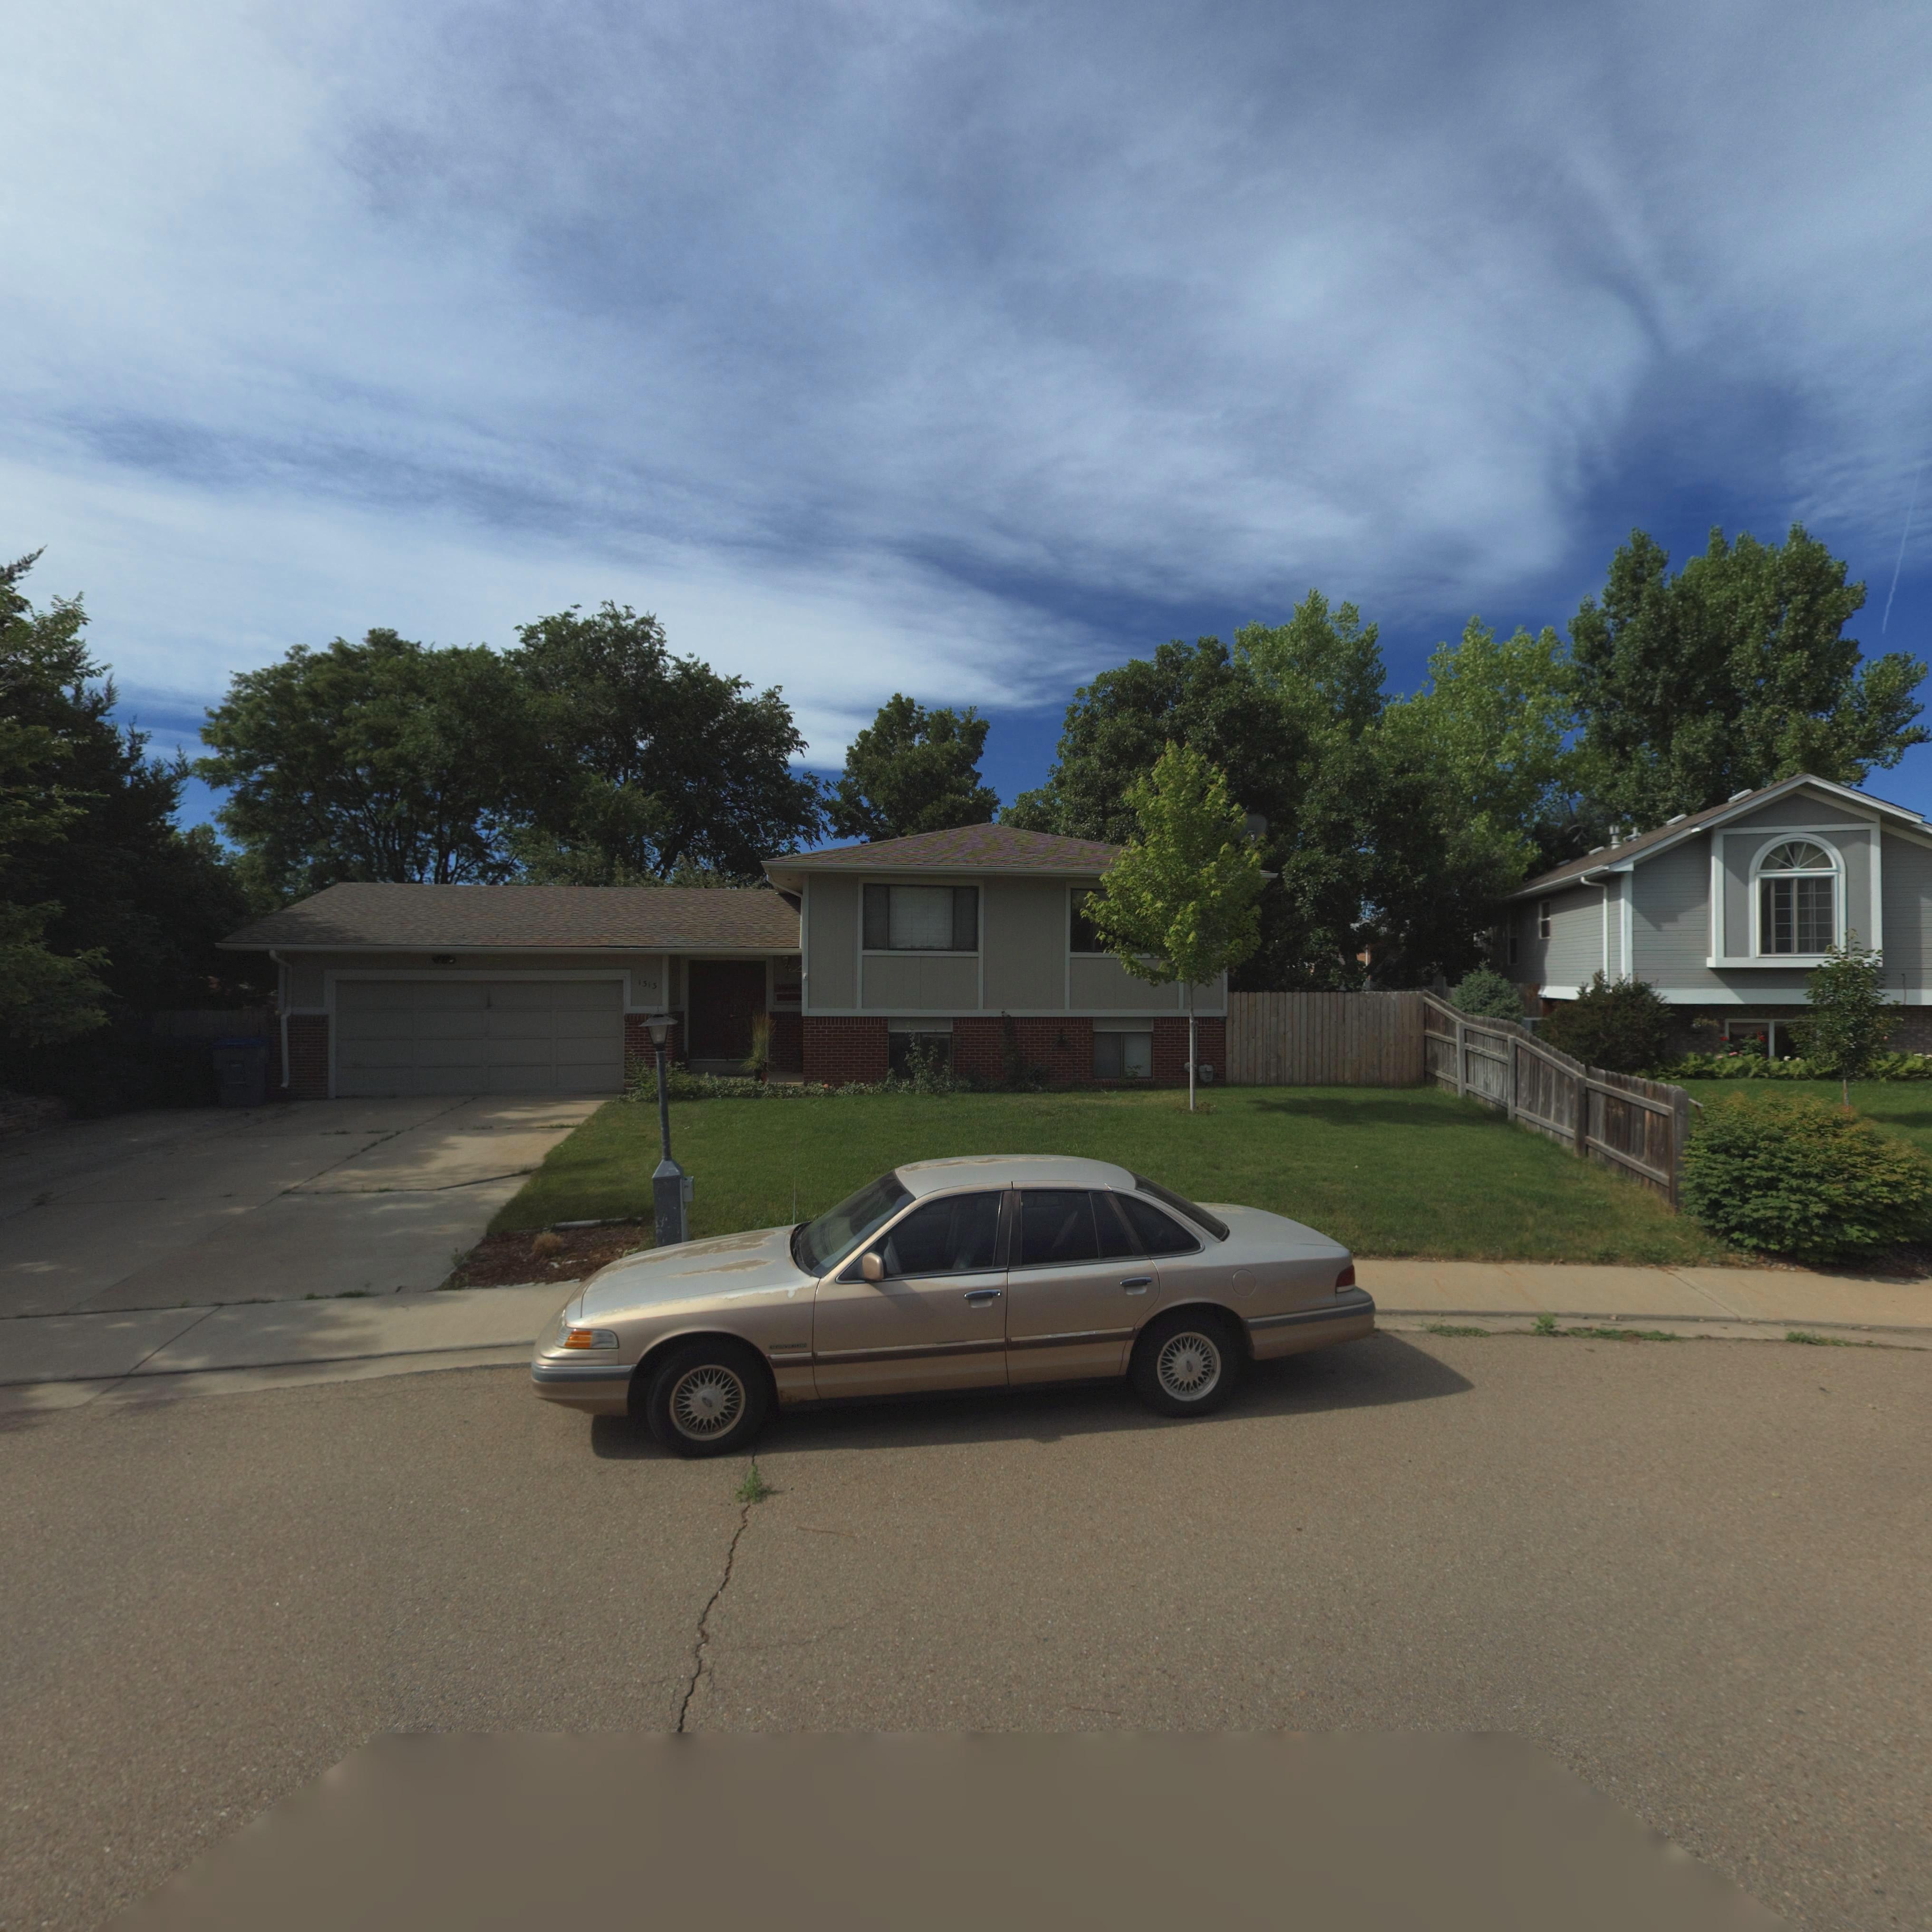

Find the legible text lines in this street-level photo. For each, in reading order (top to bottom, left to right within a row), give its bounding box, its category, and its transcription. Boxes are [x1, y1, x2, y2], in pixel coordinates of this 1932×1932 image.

[638, 978, 657, 989] StreetNumber: 1313